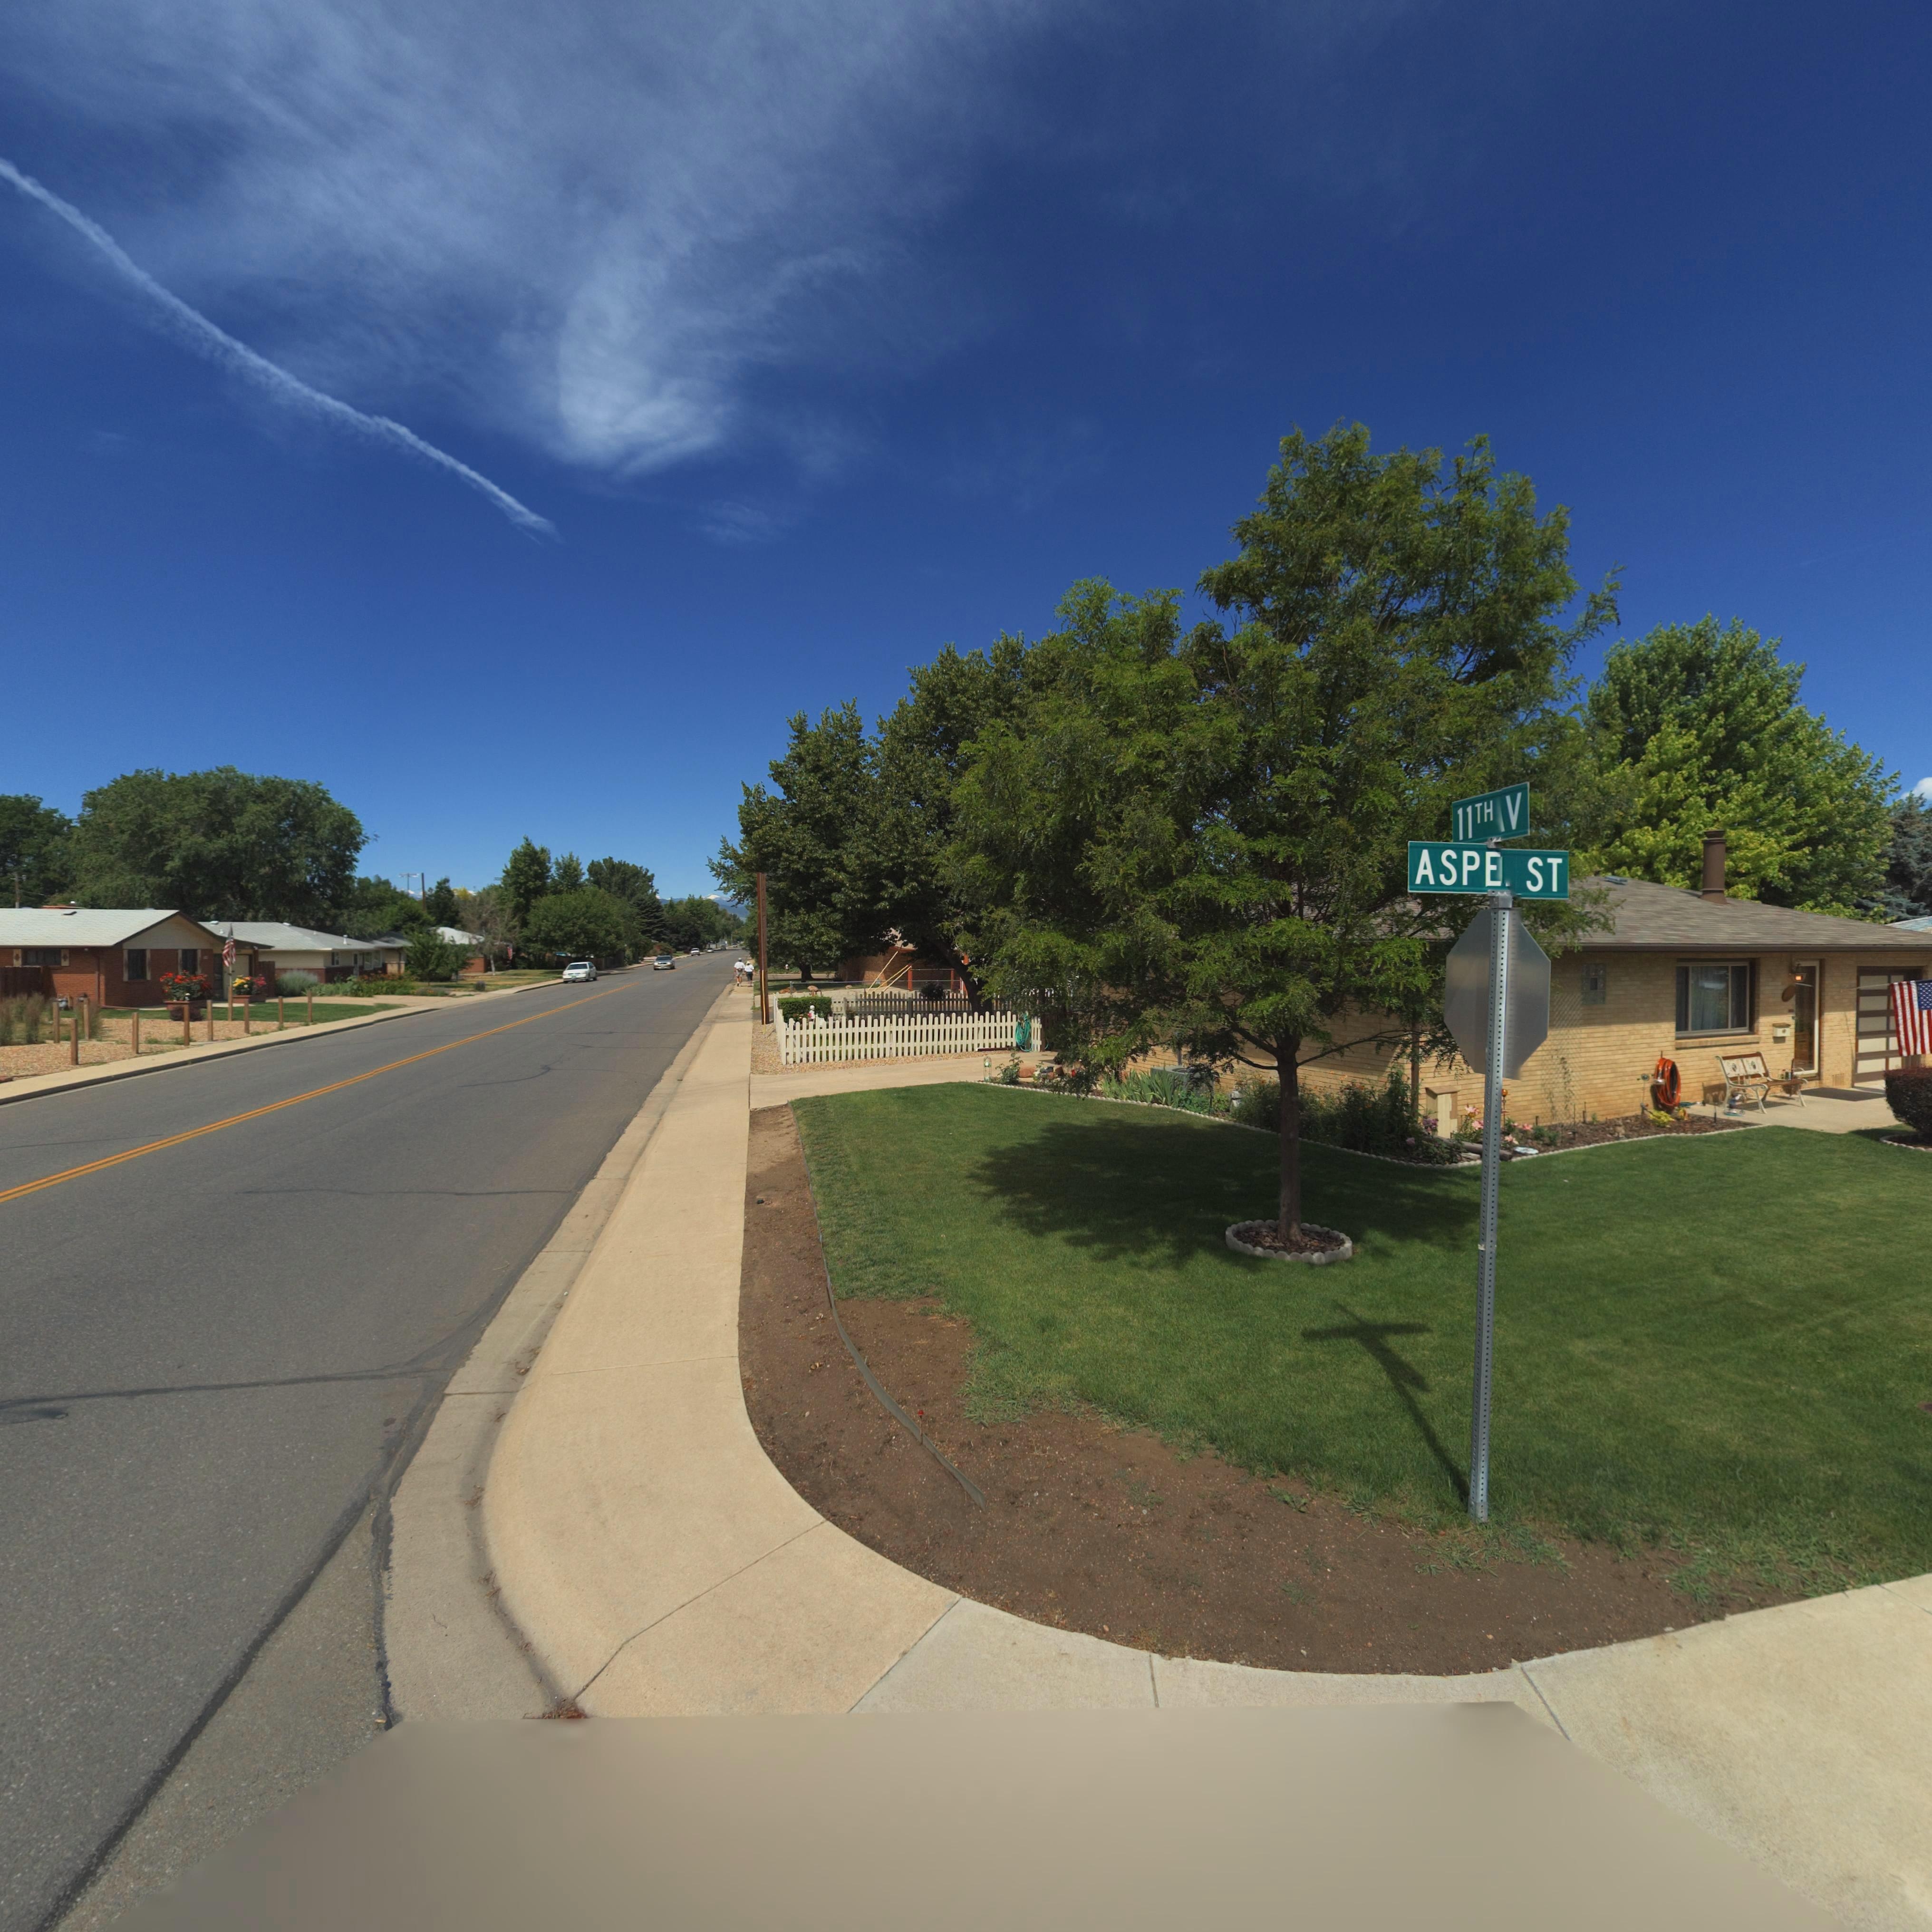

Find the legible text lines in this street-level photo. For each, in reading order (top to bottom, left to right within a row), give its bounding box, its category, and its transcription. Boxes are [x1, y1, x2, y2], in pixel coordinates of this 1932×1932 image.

[1456, 791, 1523, 841] StreetName: 11TH *V
[1413, 848, 1563, 893] StreetName: ASPE* ST